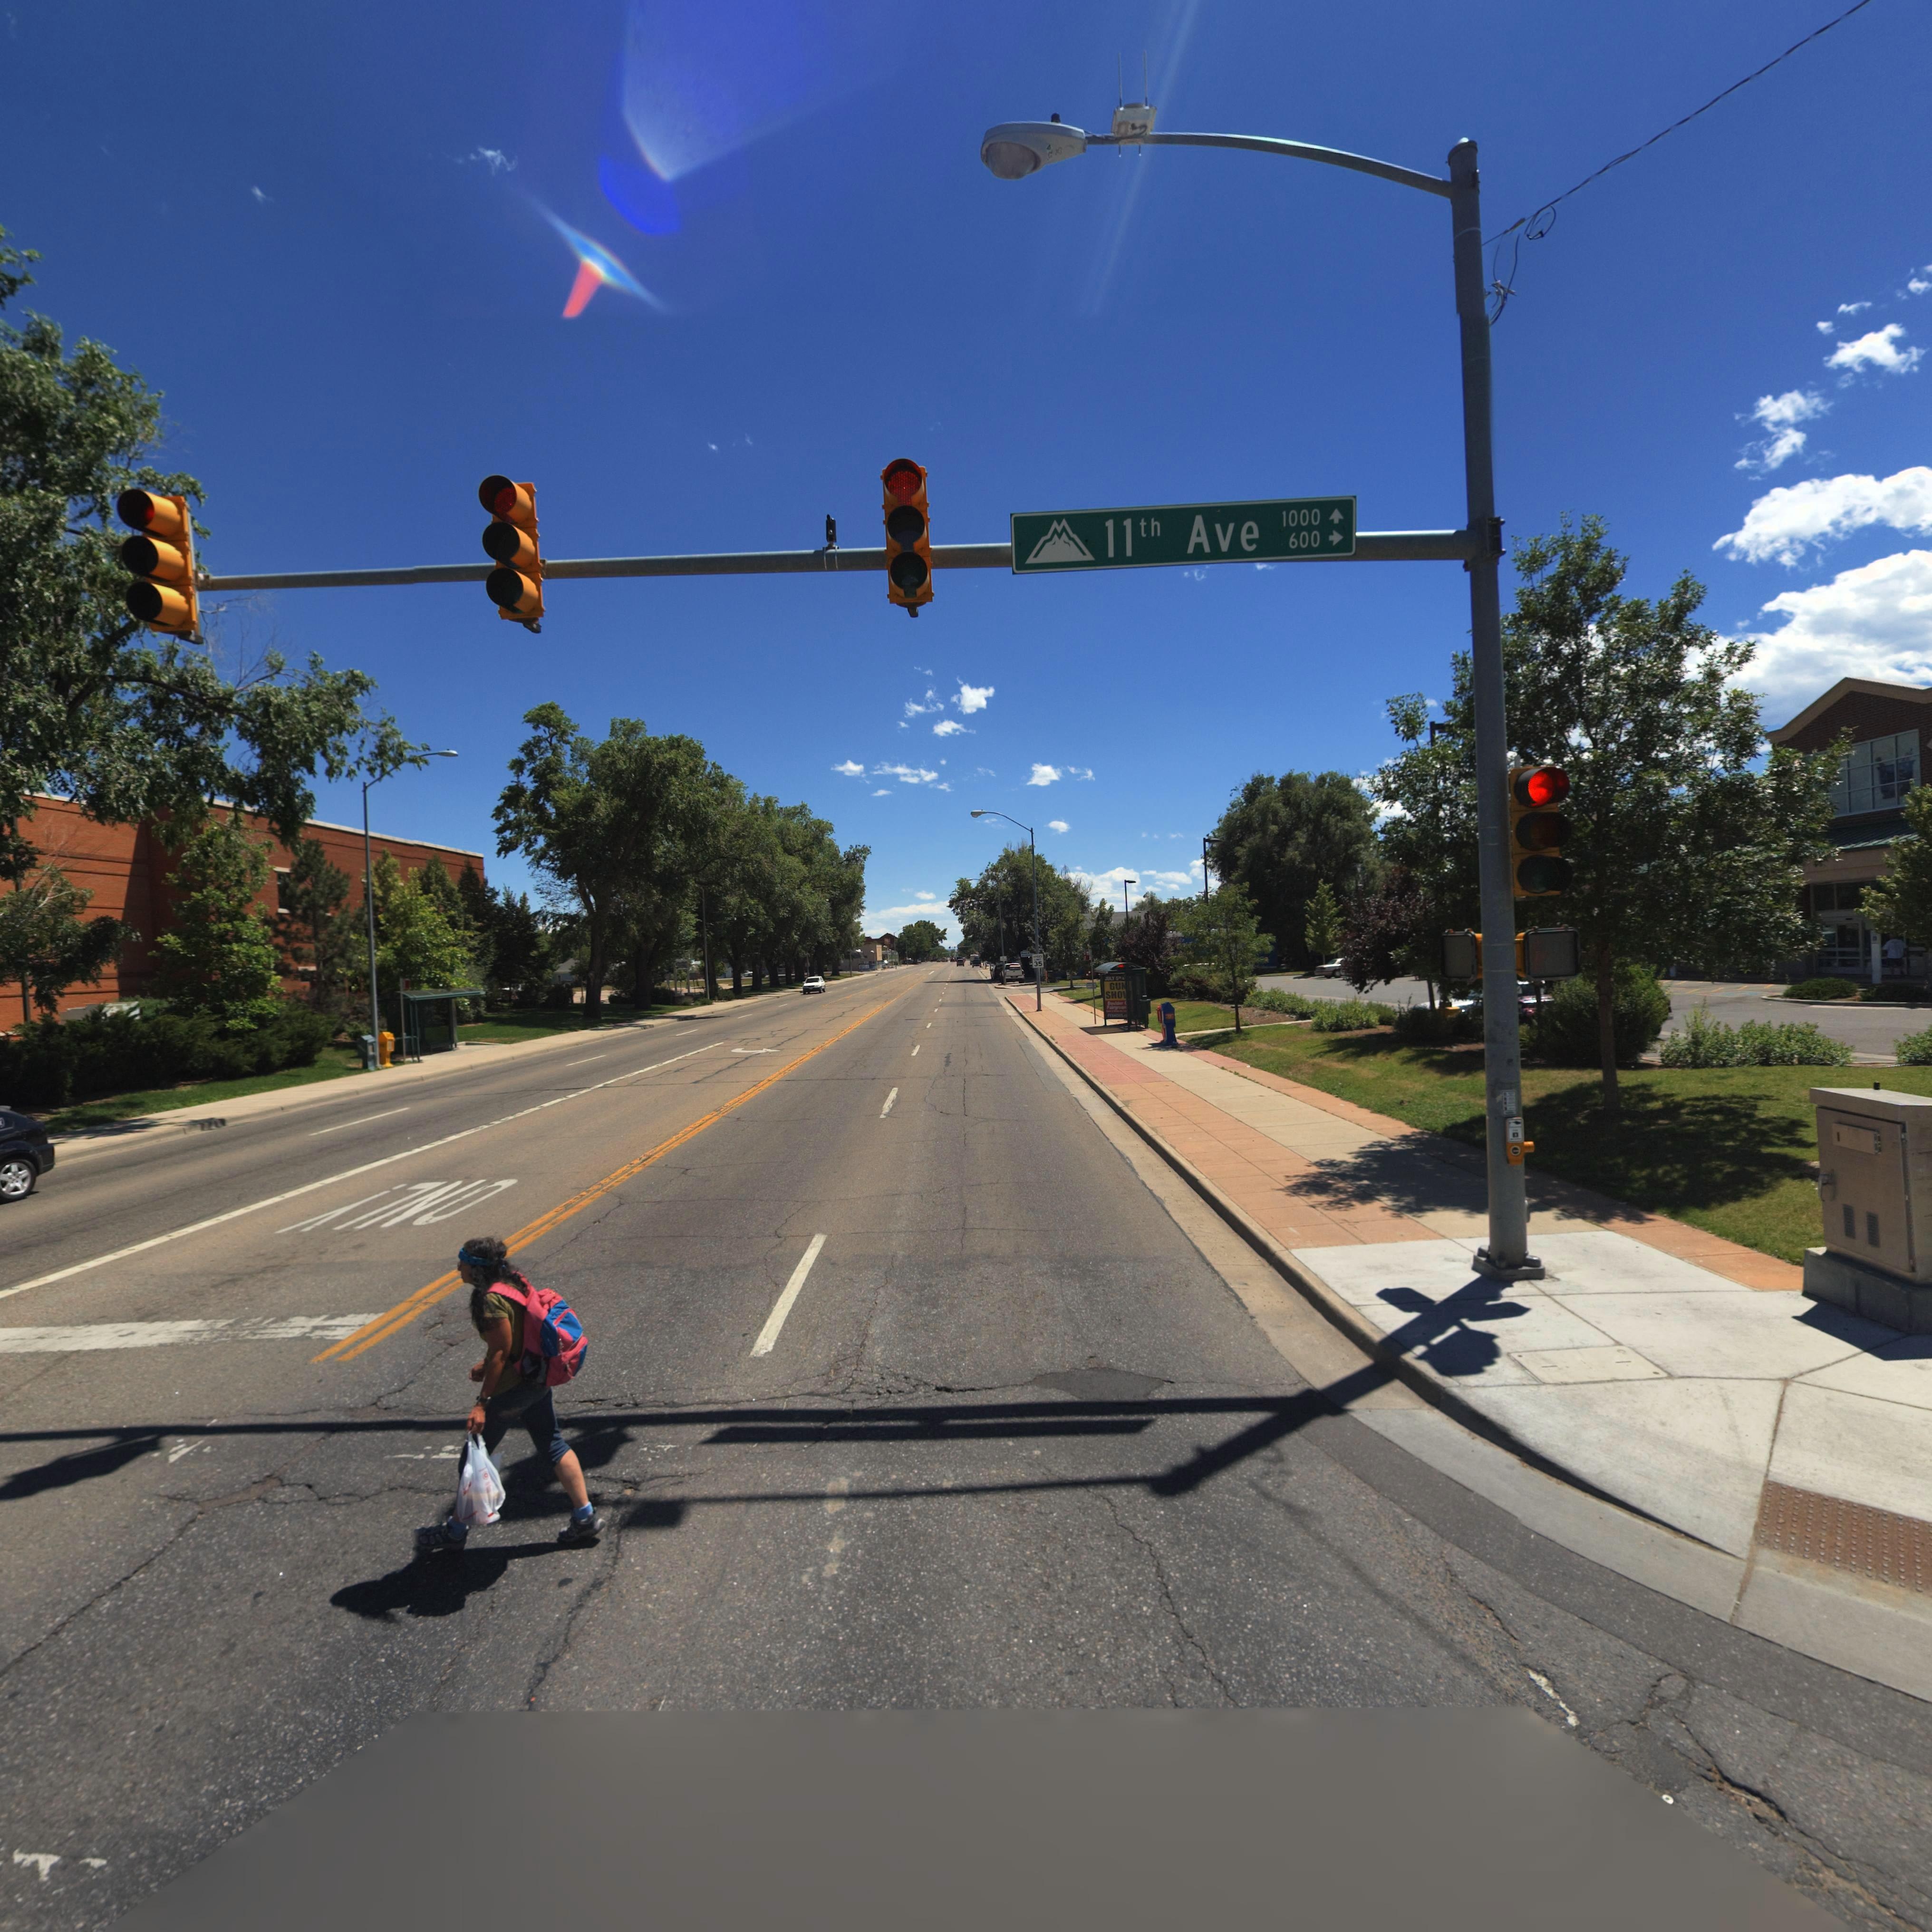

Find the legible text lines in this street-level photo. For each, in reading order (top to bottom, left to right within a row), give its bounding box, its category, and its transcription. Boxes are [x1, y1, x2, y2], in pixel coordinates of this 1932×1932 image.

[1281, 507, 1321, 527] StreetNumberRange: 1000
[1102, 512, 1262, 560] StreetName: 11th Ave
[1287, 528, 1345, 549] StreetNumberRange: 600->